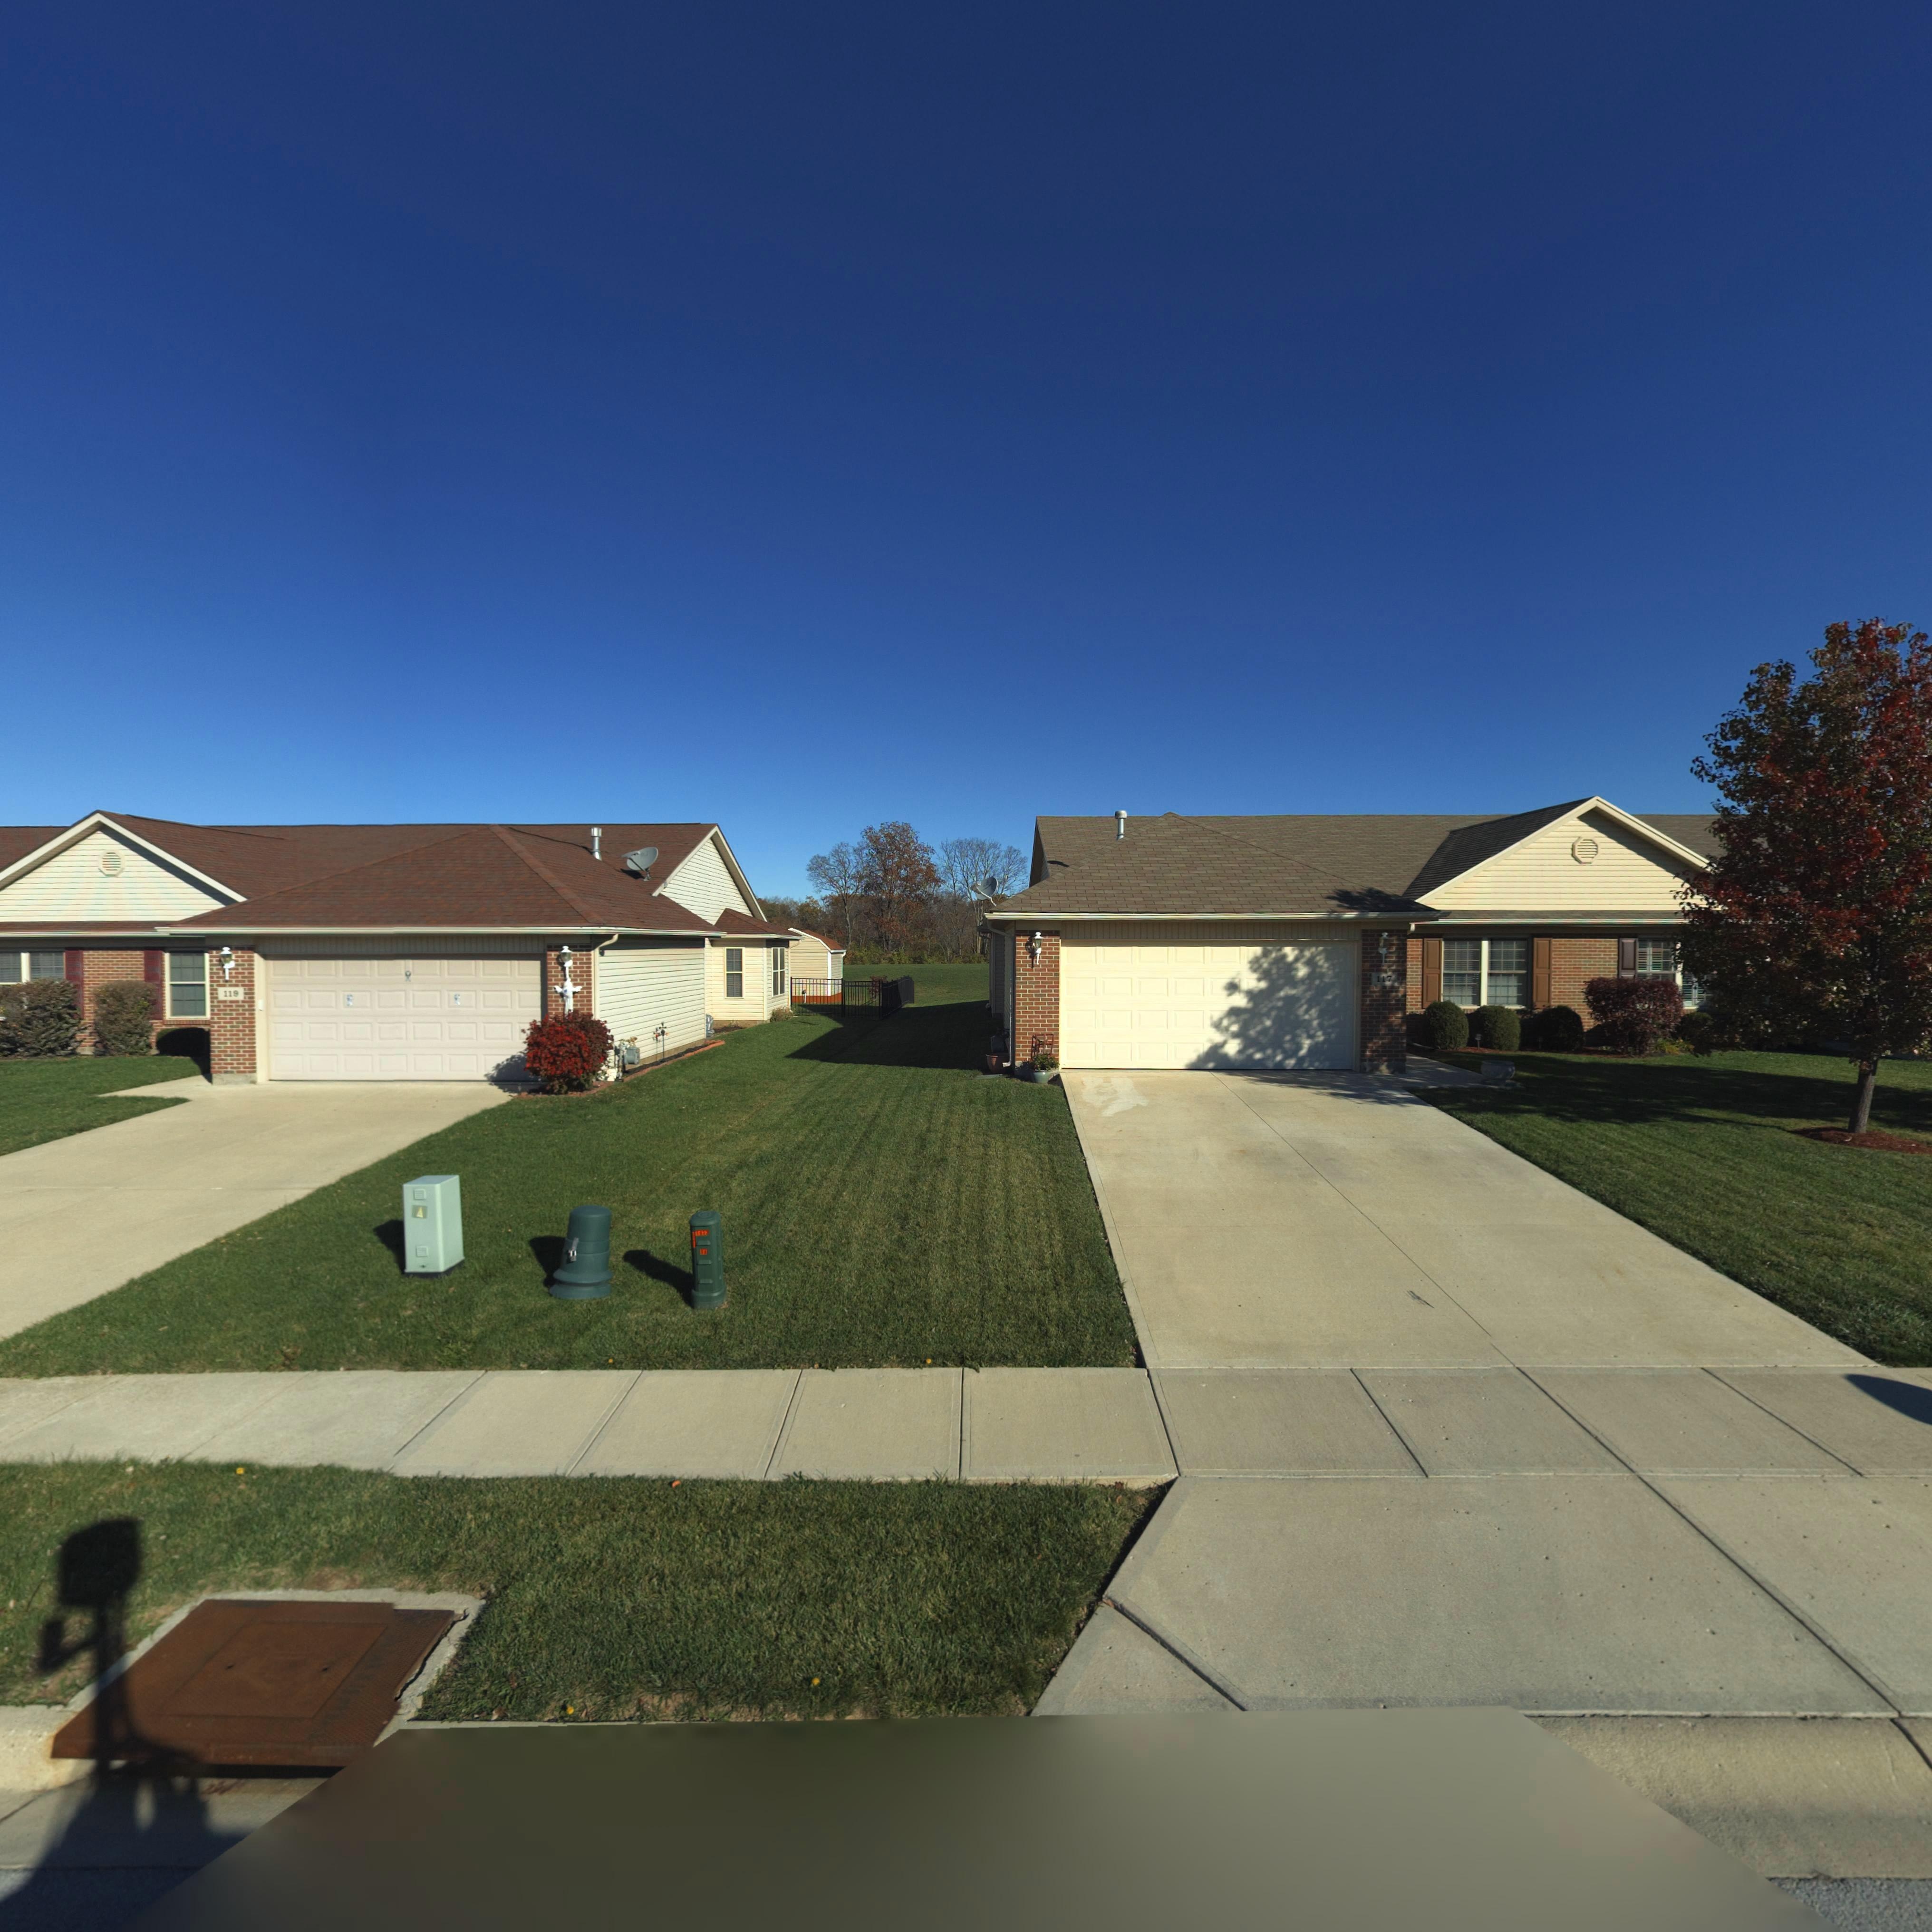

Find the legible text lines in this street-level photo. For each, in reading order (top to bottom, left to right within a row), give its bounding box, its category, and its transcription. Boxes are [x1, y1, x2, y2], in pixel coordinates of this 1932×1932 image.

[1375, 975, 1393, 983] StreetNumber: 117
[222, 989, 240, 998] StreetNumber: 119